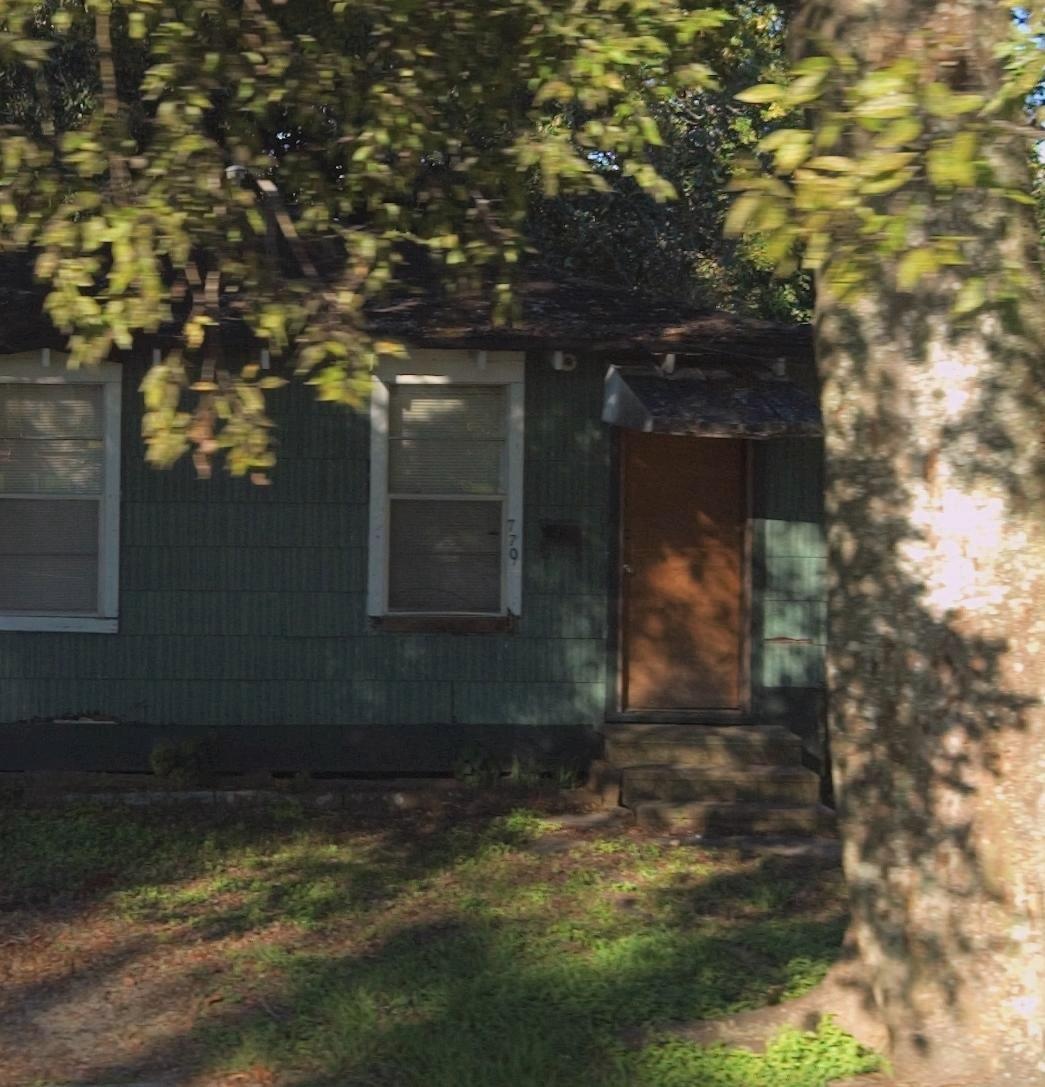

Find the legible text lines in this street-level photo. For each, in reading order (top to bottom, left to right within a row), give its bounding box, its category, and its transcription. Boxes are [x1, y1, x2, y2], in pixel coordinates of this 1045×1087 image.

[504, 516, 520, 568] StreetNumber: 779